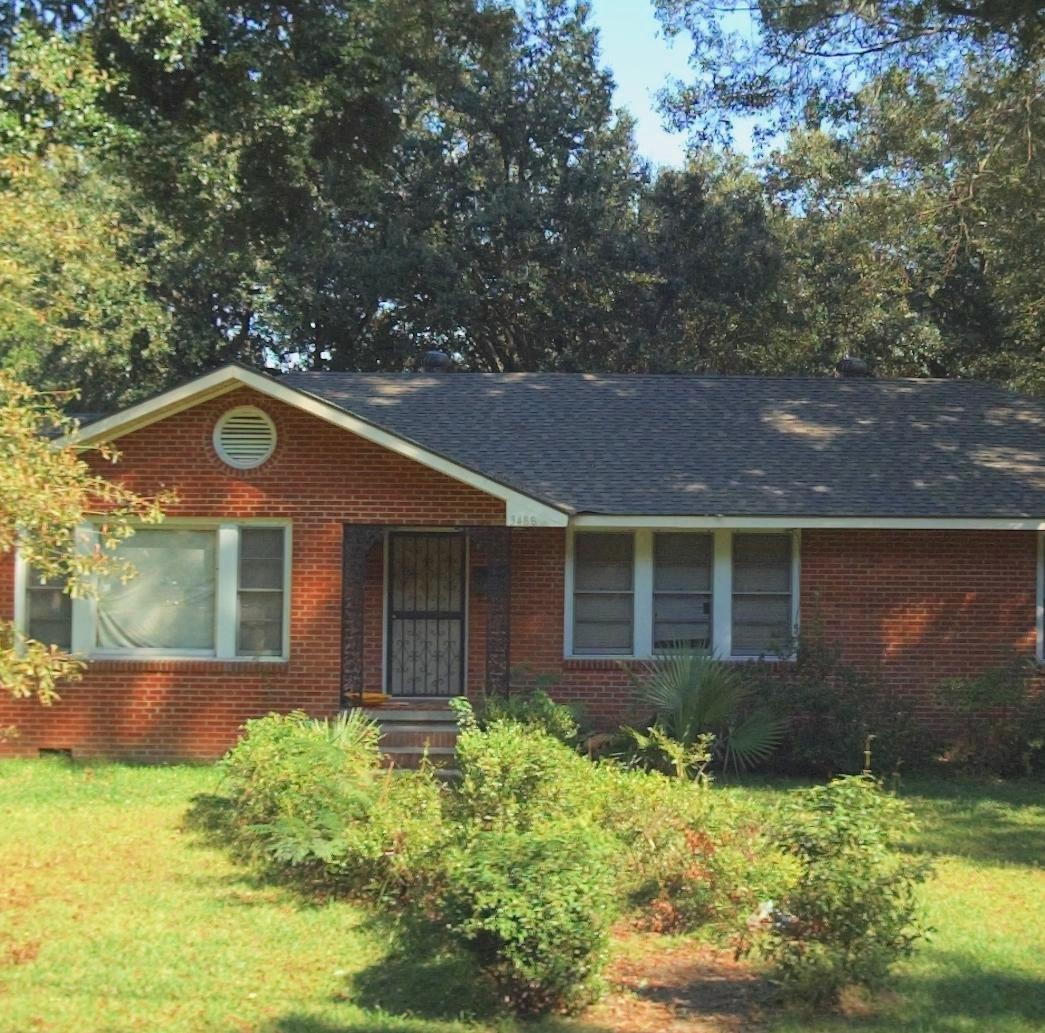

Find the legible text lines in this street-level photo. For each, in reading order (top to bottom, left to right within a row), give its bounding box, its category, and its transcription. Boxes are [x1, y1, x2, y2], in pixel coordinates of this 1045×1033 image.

[507, 513, 539, 527] StreetNumber: 3488